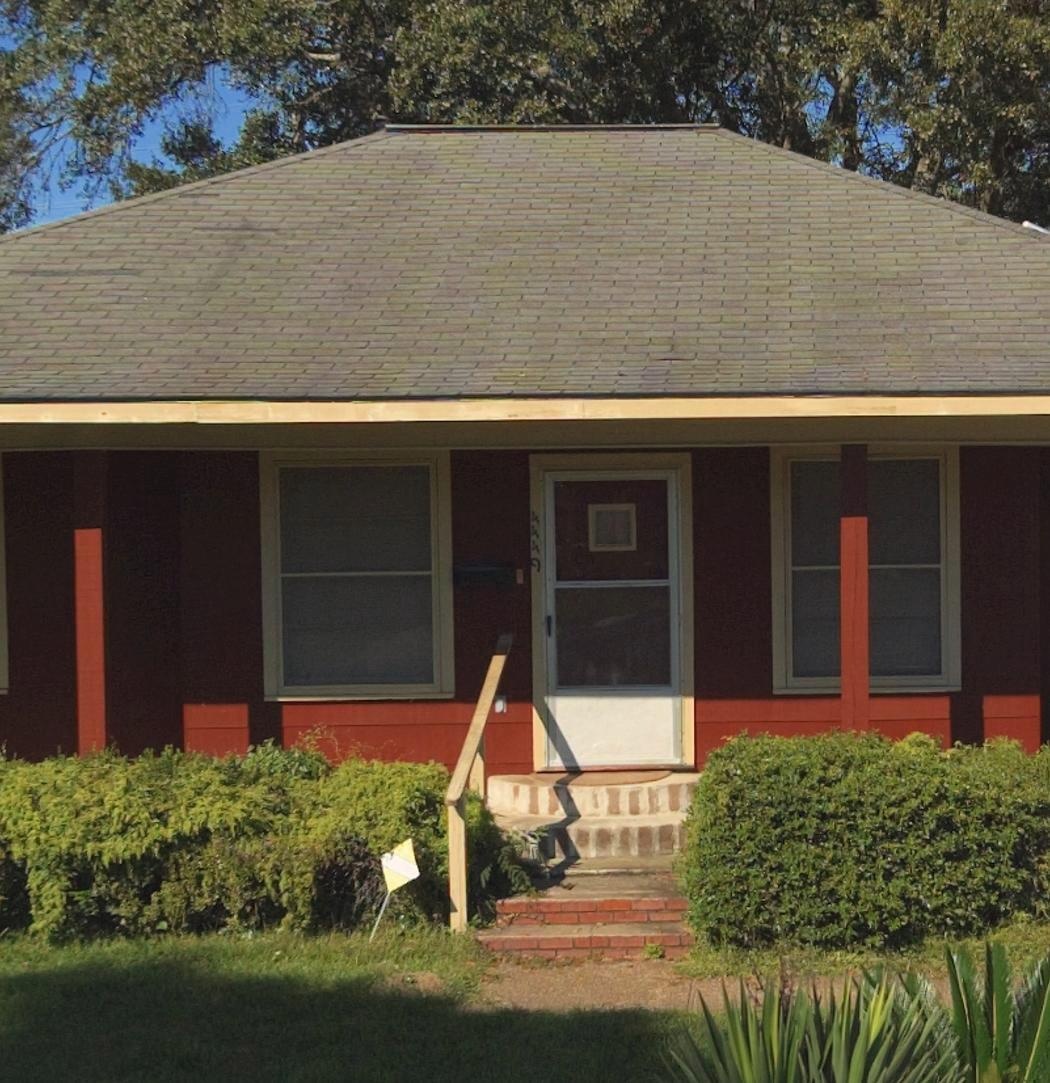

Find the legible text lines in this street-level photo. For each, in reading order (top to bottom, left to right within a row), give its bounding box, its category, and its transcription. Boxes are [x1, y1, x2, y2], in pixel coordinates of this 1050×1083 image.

[530, 509, 542, 574] StreetNumber: 4449